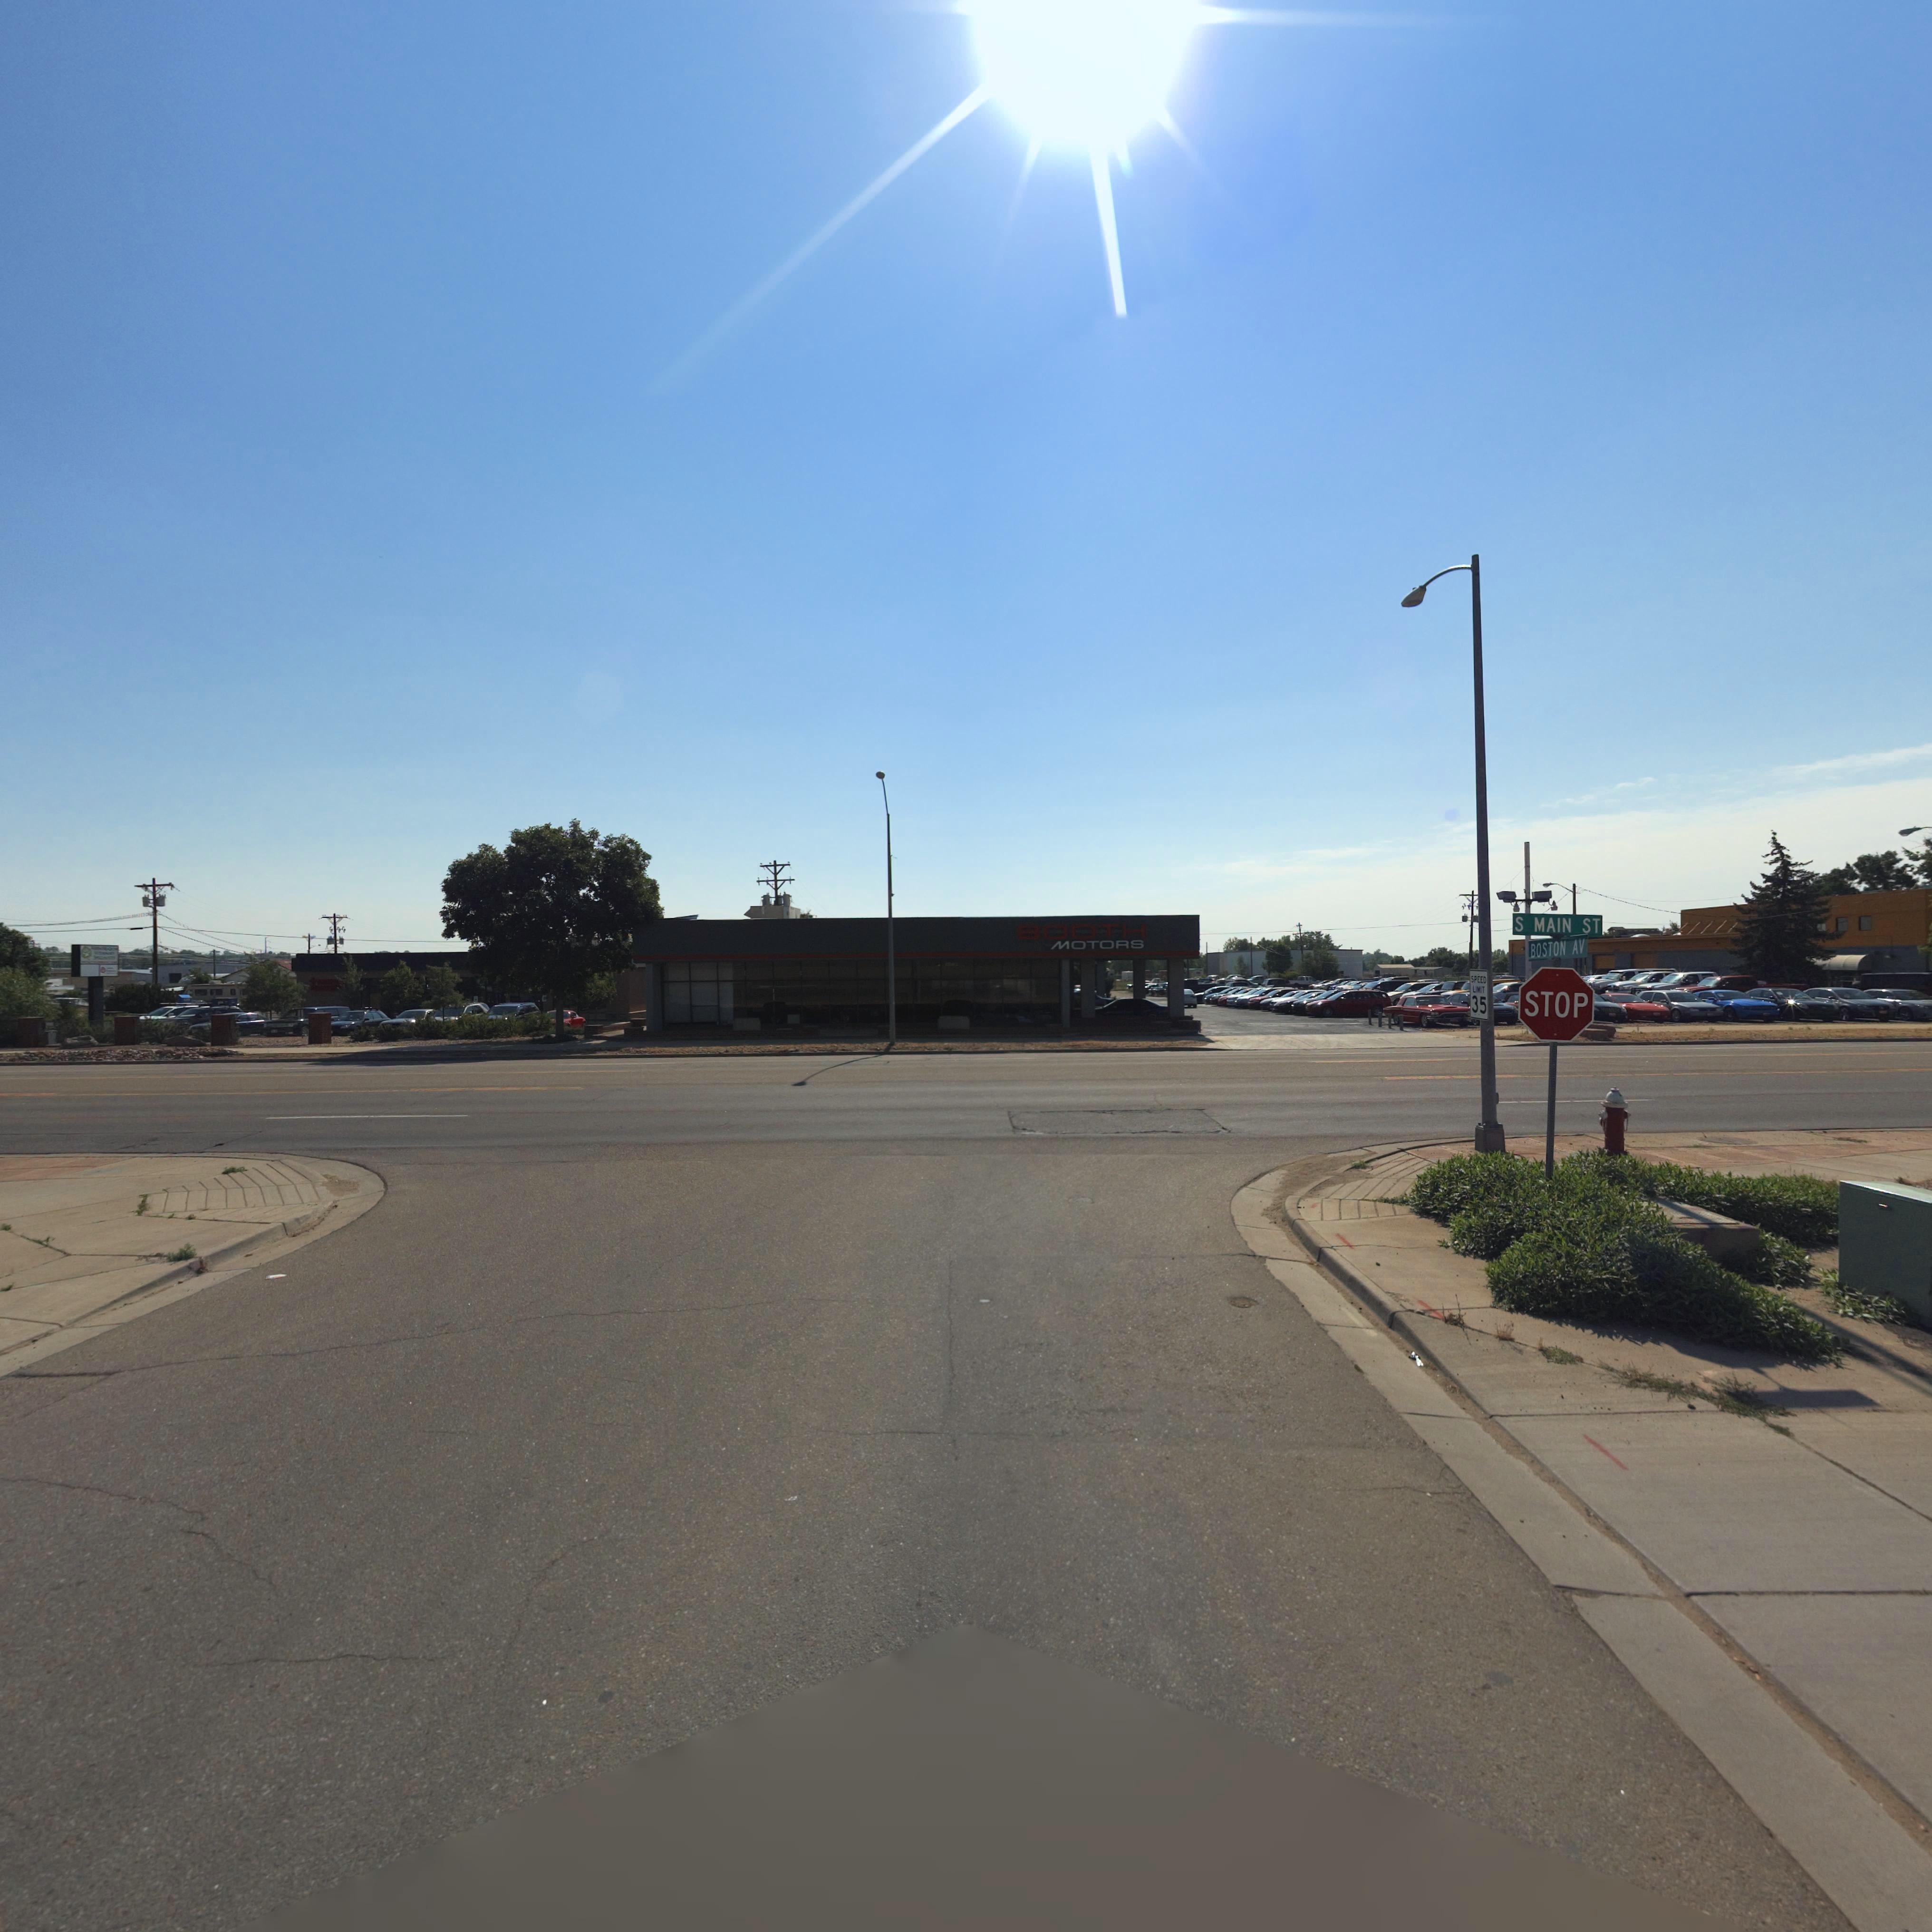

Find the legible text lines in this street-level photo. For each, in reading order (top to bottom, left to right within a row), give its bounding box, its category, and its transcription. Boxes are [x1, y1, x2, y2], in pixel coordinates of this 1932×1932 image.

[1017, 923, 1146, 939] BusinessName:  BOOTH
[1515, 916, 1601, 933] StreetName: S MAIN ST
[1050, 940, 1144, 949] BusinessName: MOTORS
[1530, 938, 1585, 958] StreetName: BOSTON AV